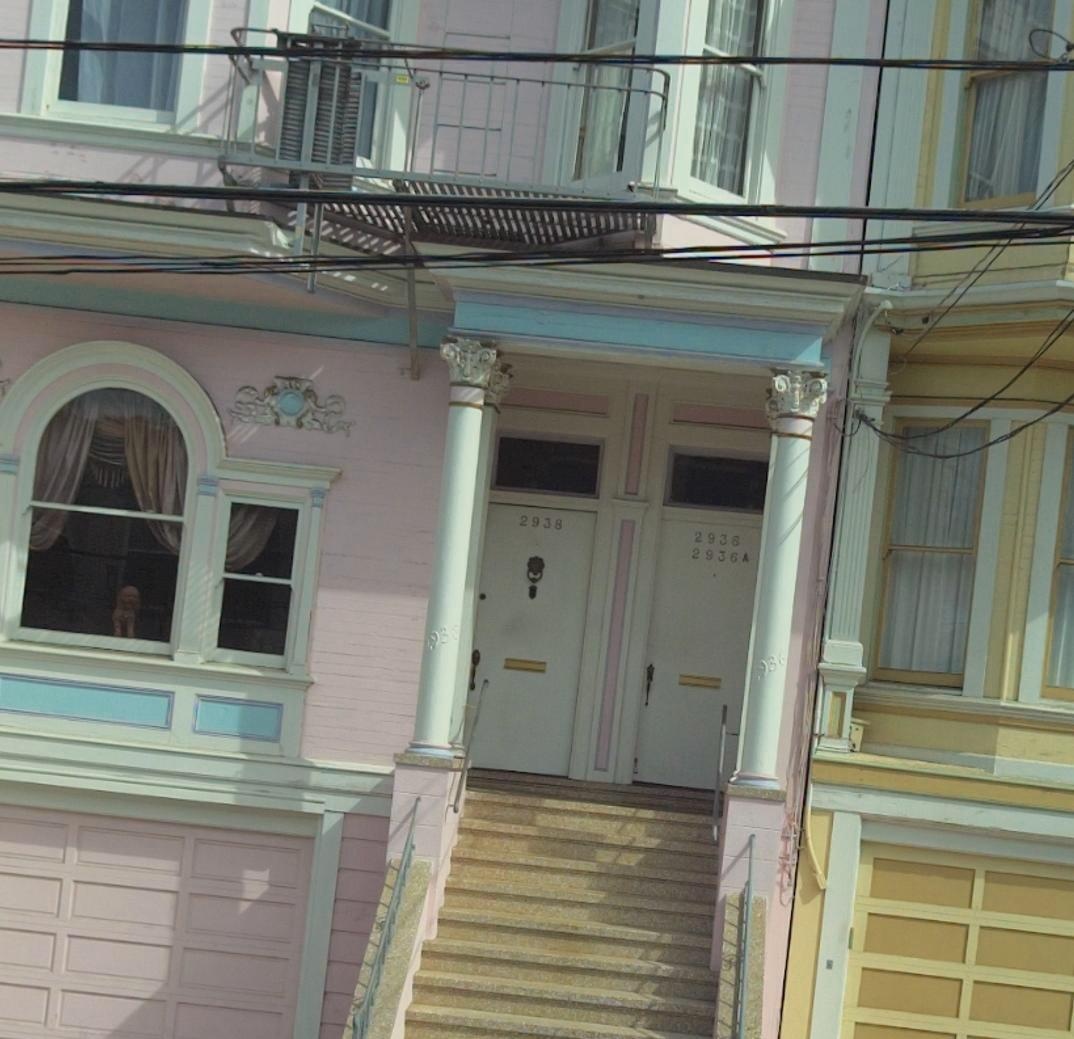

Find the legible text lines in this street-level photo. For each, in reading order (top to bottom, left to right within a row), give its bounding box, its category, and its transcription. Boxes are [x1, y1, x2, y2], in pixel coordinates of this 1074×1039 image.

[516, 512, 565, 533] StreetNumber: 2938
[691, 529, 742, 550] StreetNumber: 2936
[688, 545, 752, 566] StreetNumber: 2936 A